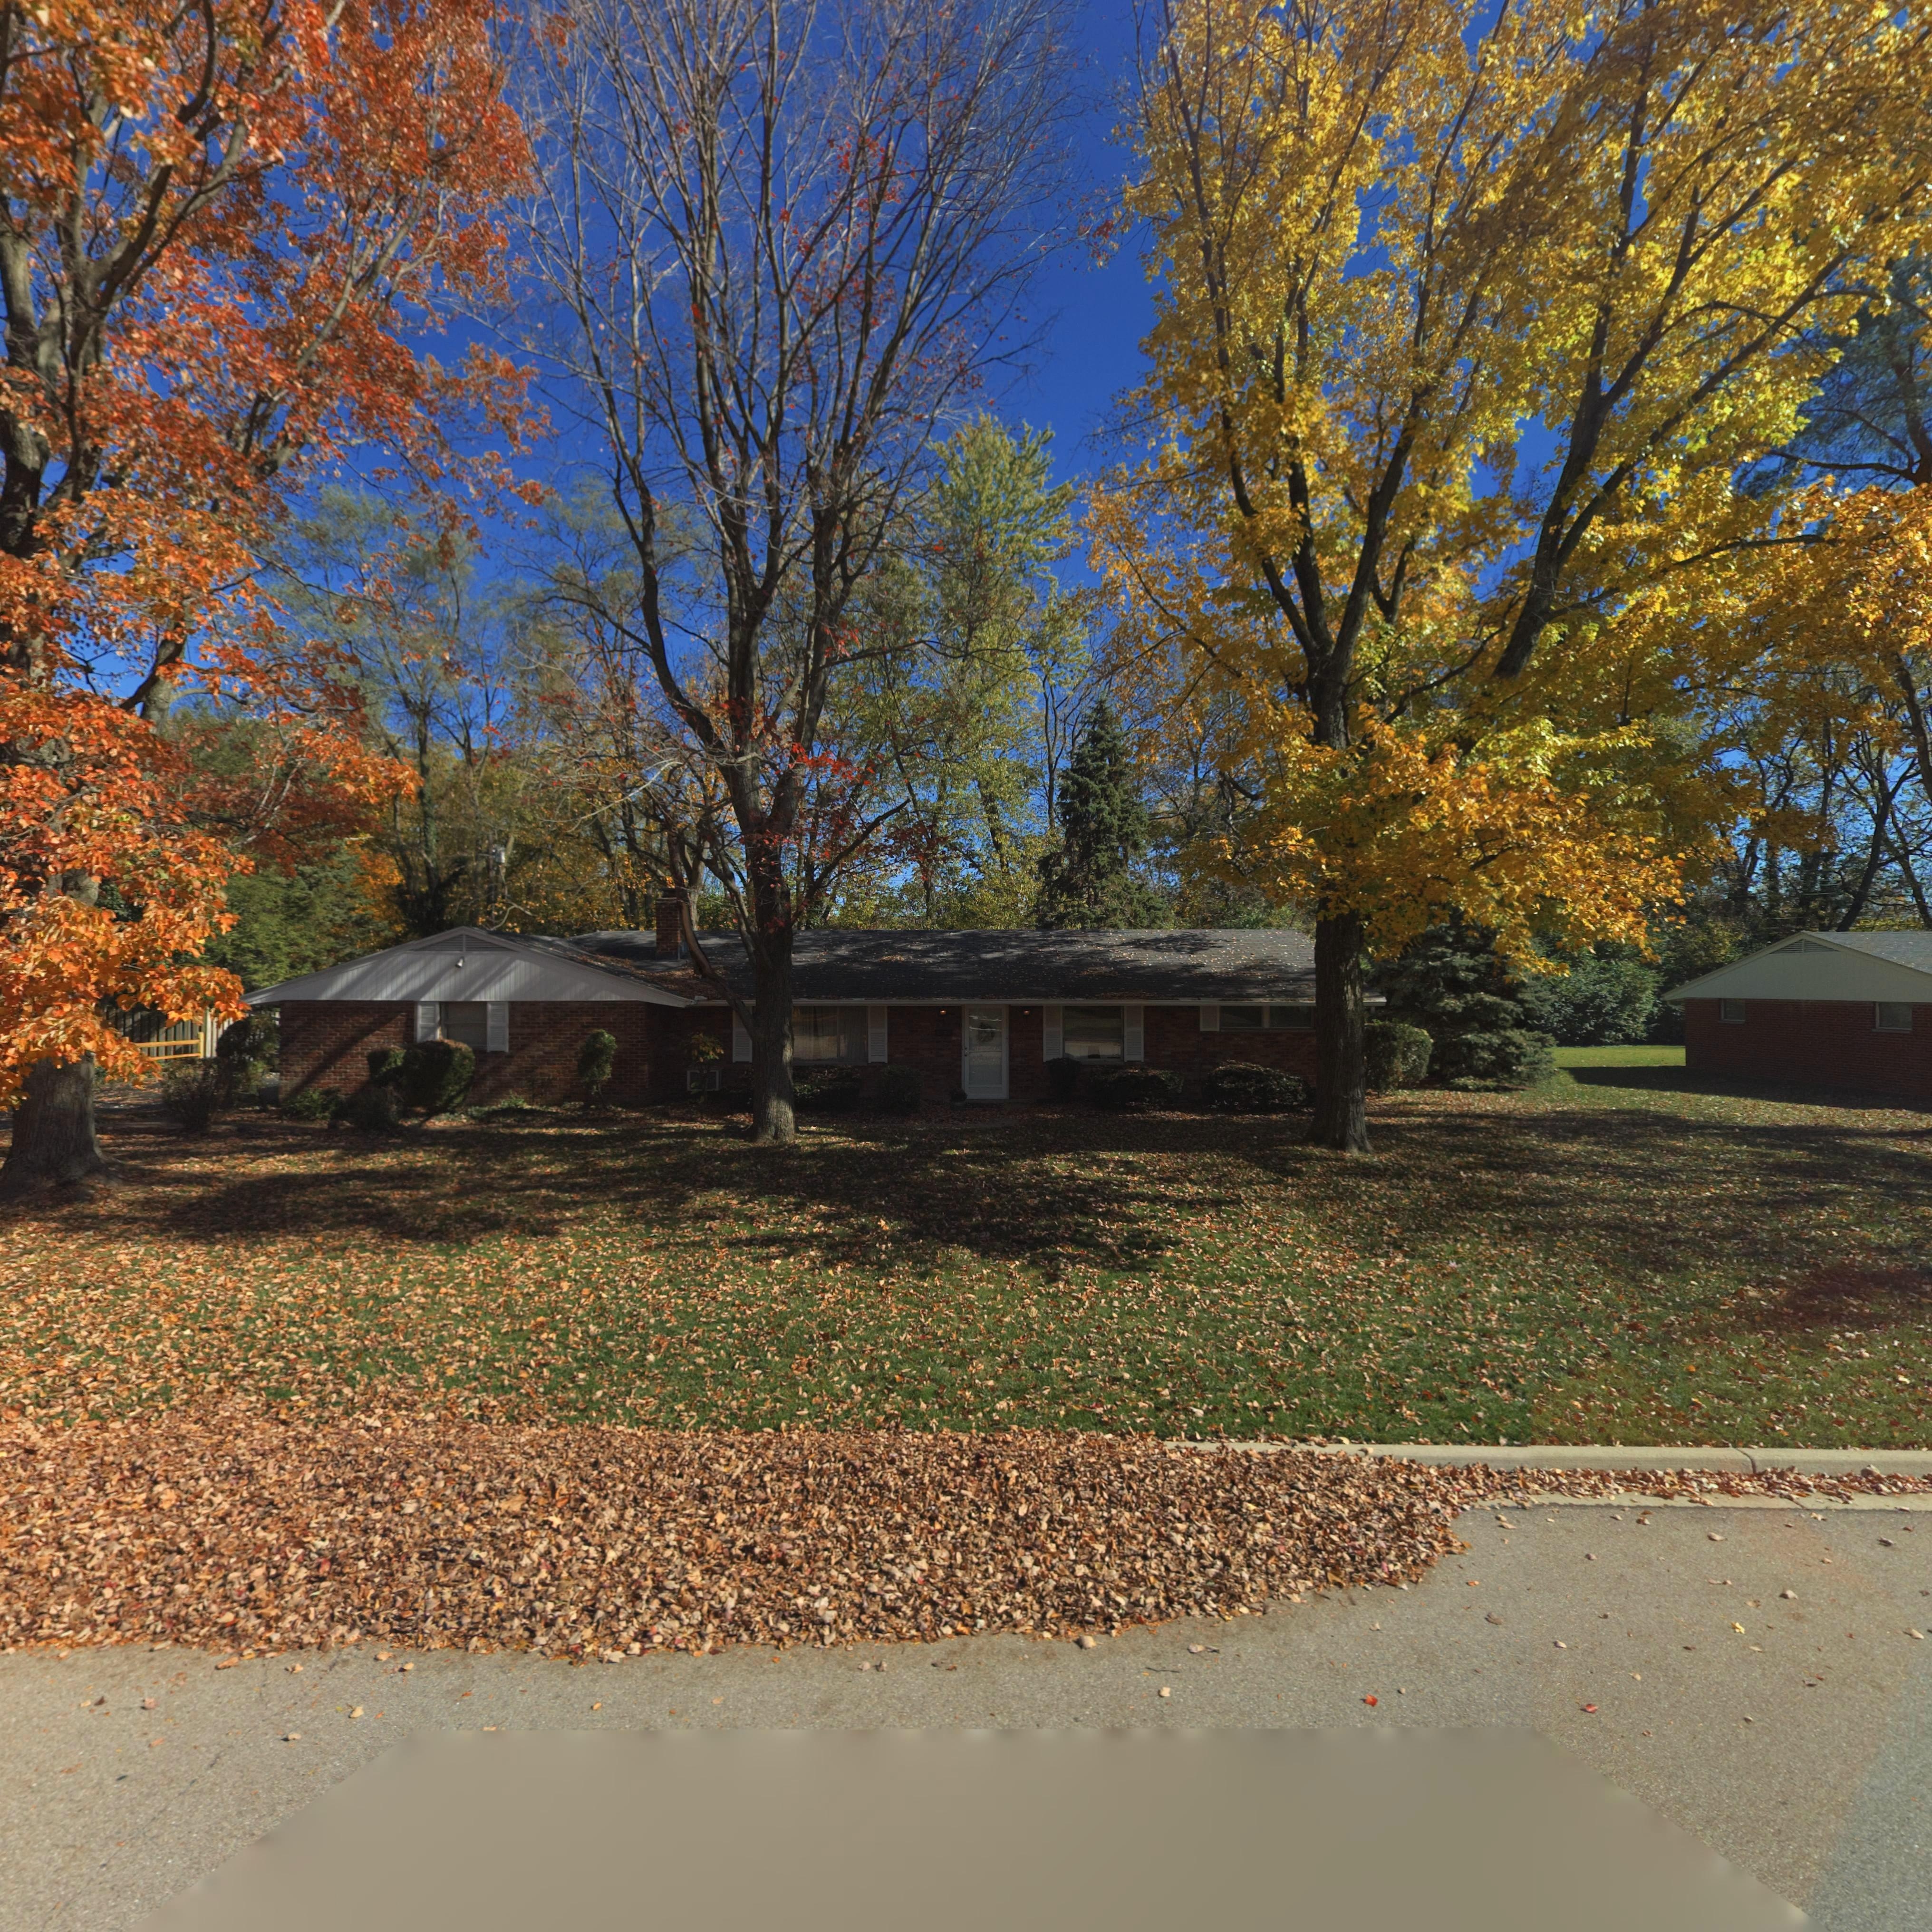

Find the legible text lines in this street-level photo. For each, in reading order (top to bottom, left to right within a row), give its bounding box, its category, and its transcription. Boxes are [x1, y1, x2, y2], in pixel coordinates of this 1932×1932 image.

[937, 1030, 951, 1035] StreetNumber: **3*